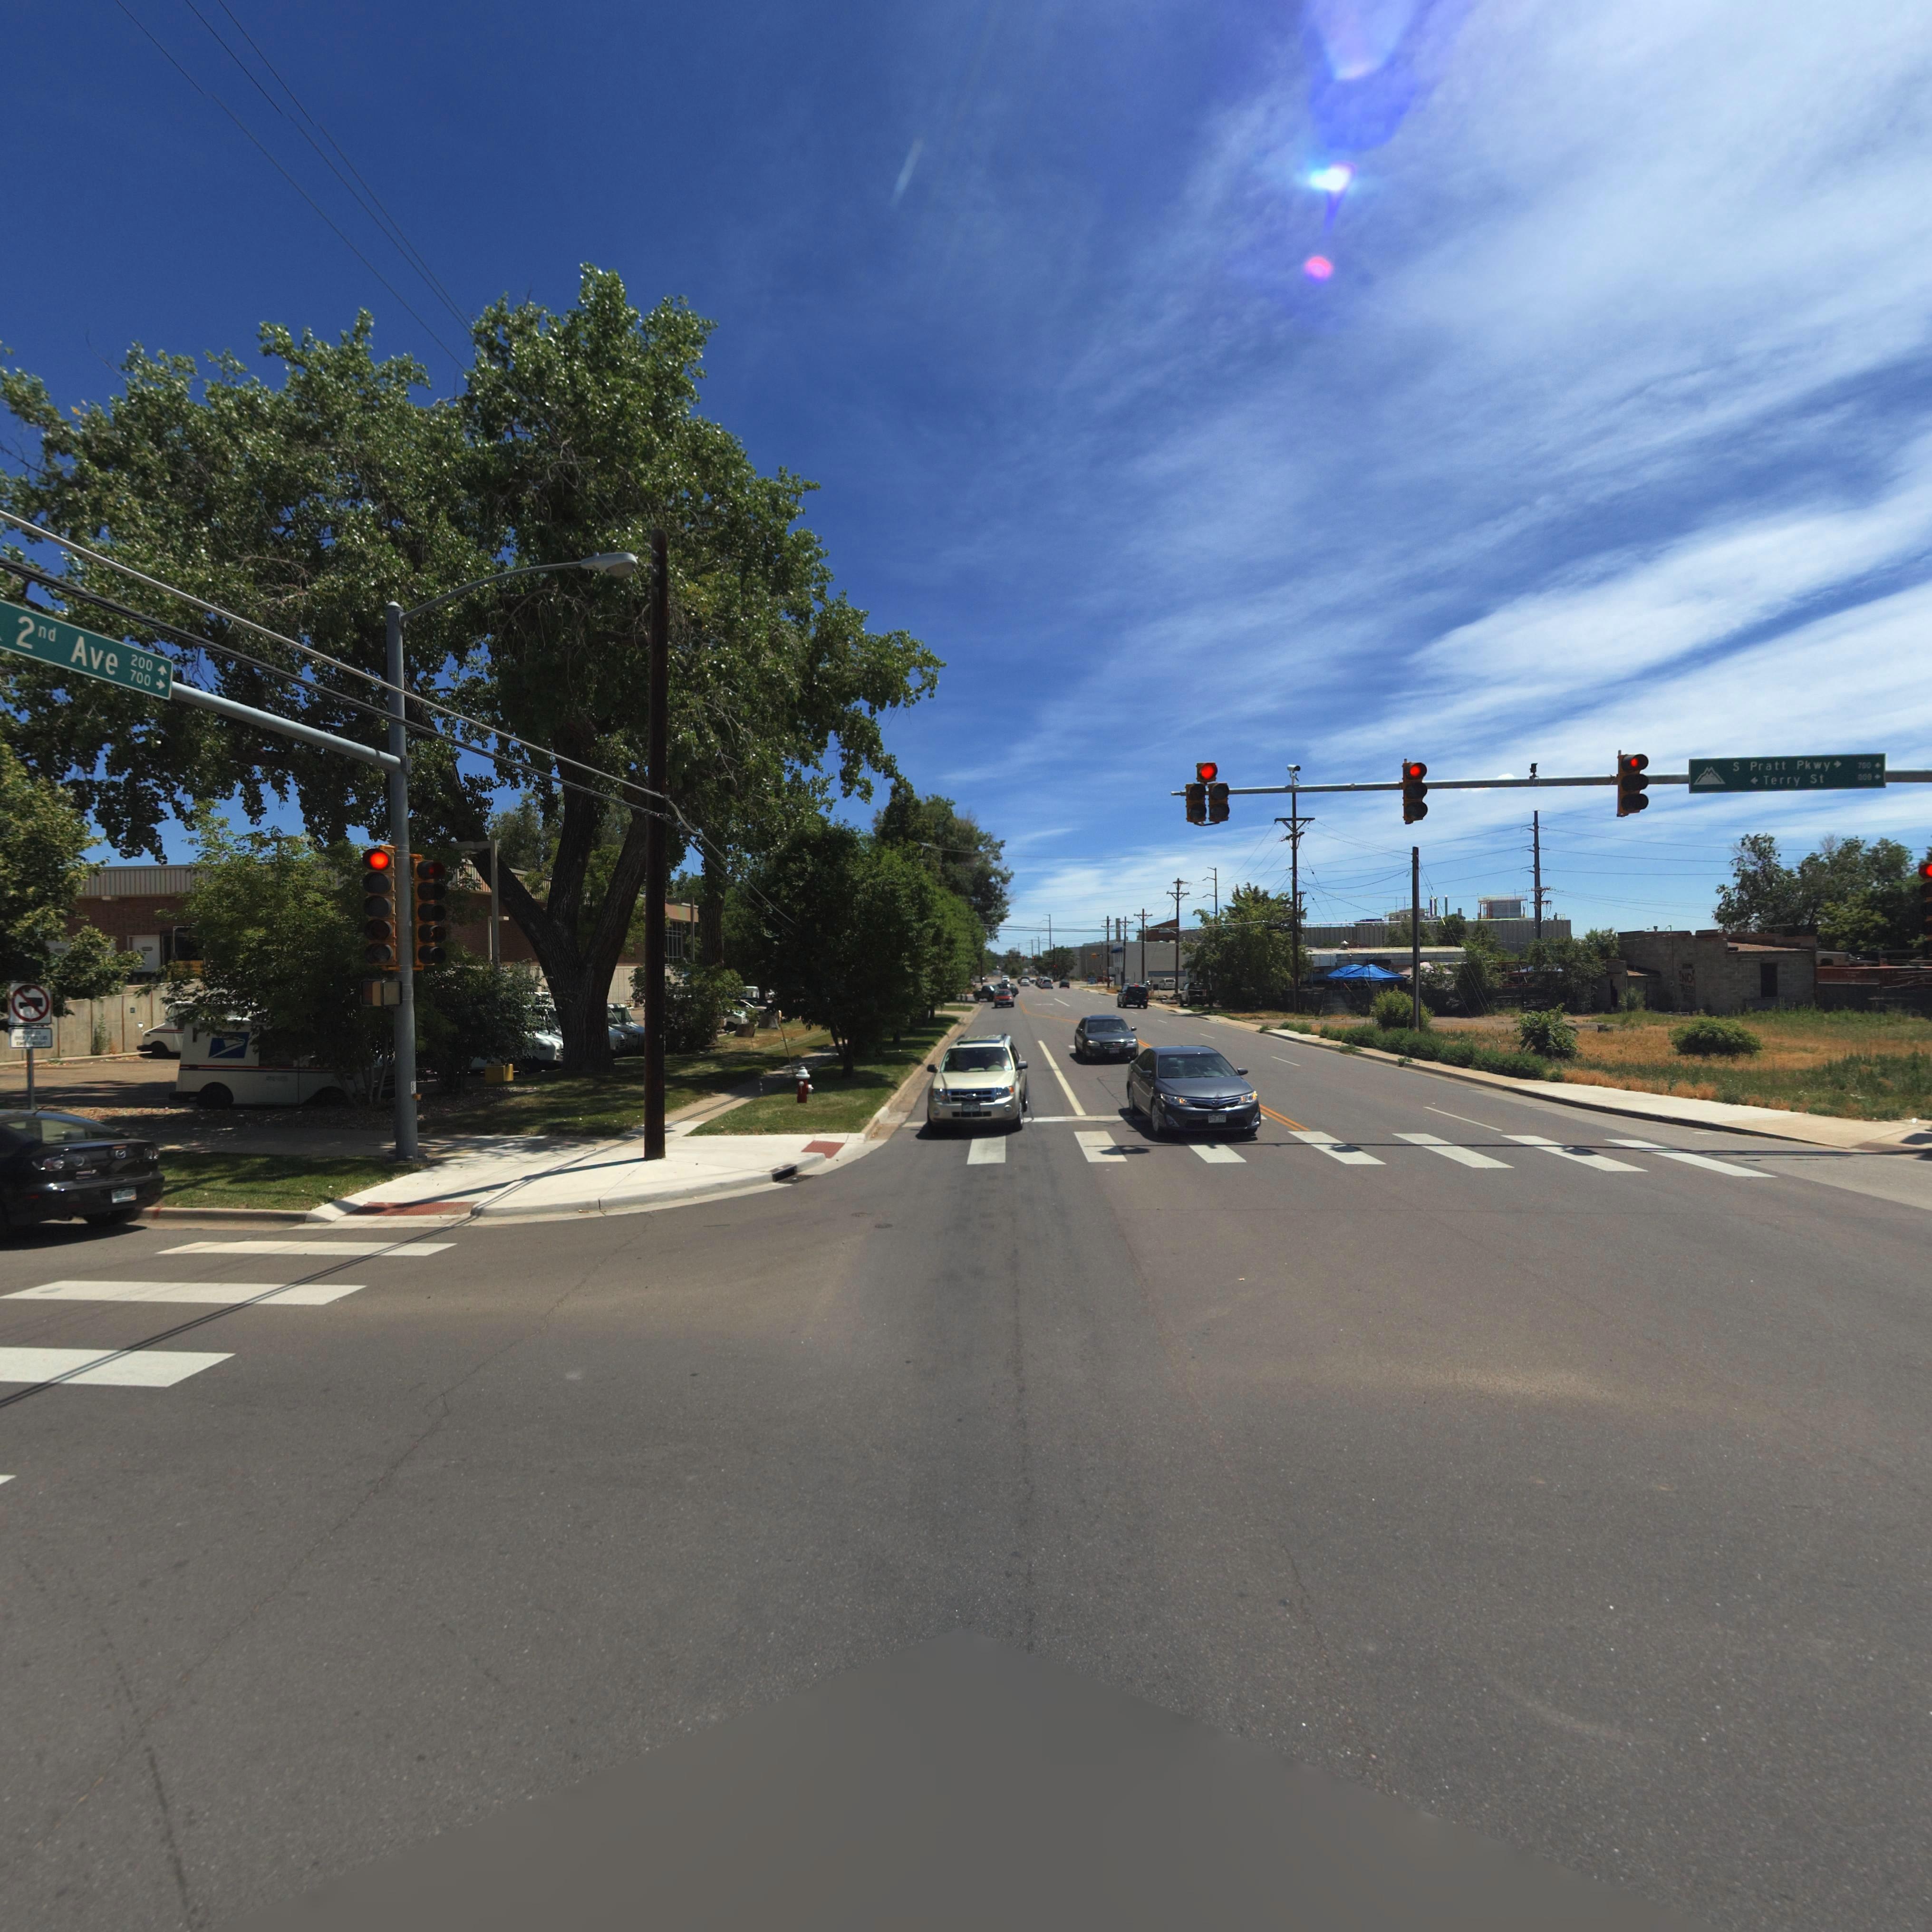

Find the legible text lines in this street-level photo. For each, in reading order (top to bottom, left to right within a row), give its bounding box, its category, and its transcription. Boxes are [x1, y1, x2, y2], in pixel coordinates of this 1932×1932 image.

[14, 615, 119, 676] StreetName: 2nd Ave
[130, 653, 153, 672] StreetNumberRange: 200
[130, 668, 167, 691] StreetNumberRange: 700->
[1732, 759, 1831, 772] StreetName: S Pratt Pkwy
[1857, 762, 1872, 769] StreetNumberRange: 700
[1762, 773, 1825, 787] StreetName: Terry St
[1857, 773, 1882, 781] StreetNumberRange: 000->